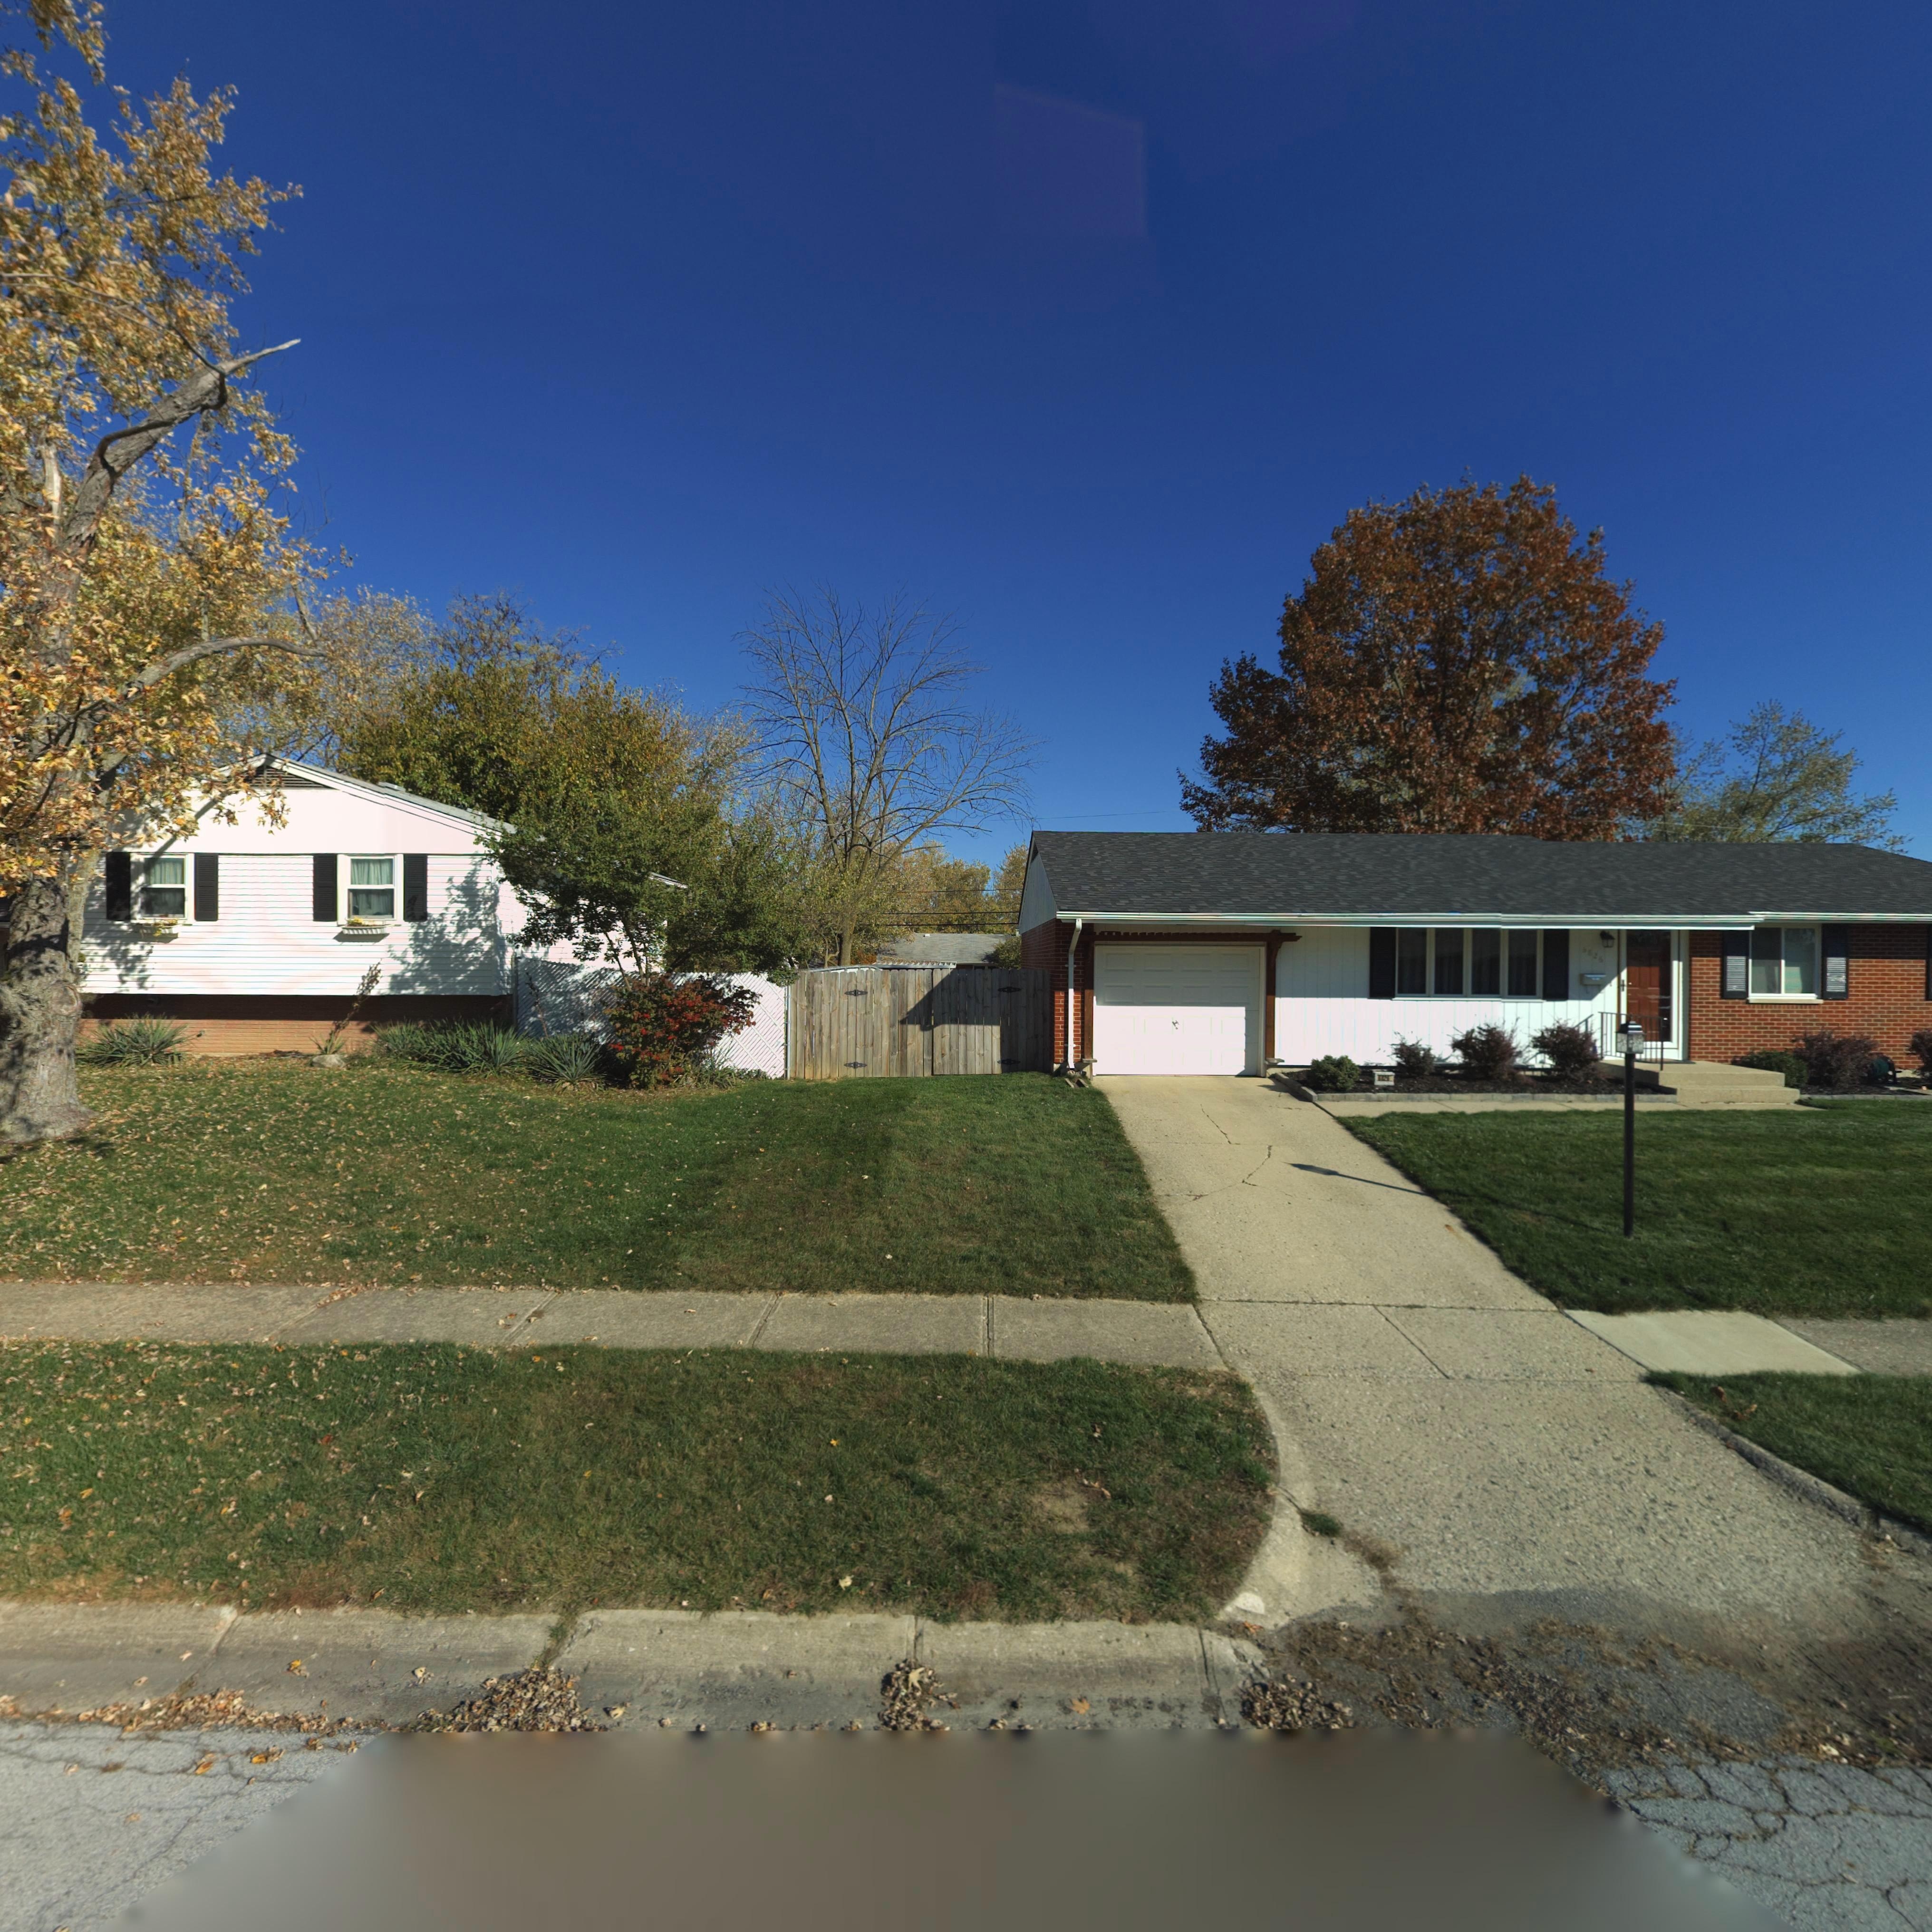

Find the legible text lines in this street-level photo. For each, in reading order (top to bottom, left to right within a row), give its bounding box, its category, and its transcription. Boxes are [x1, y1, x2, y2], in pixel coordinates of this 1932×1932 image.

[1581, 946, 1604, 964] StreetNumber: 6826
[1378, 1075, 1390, 1082] StreetNumber: 6826